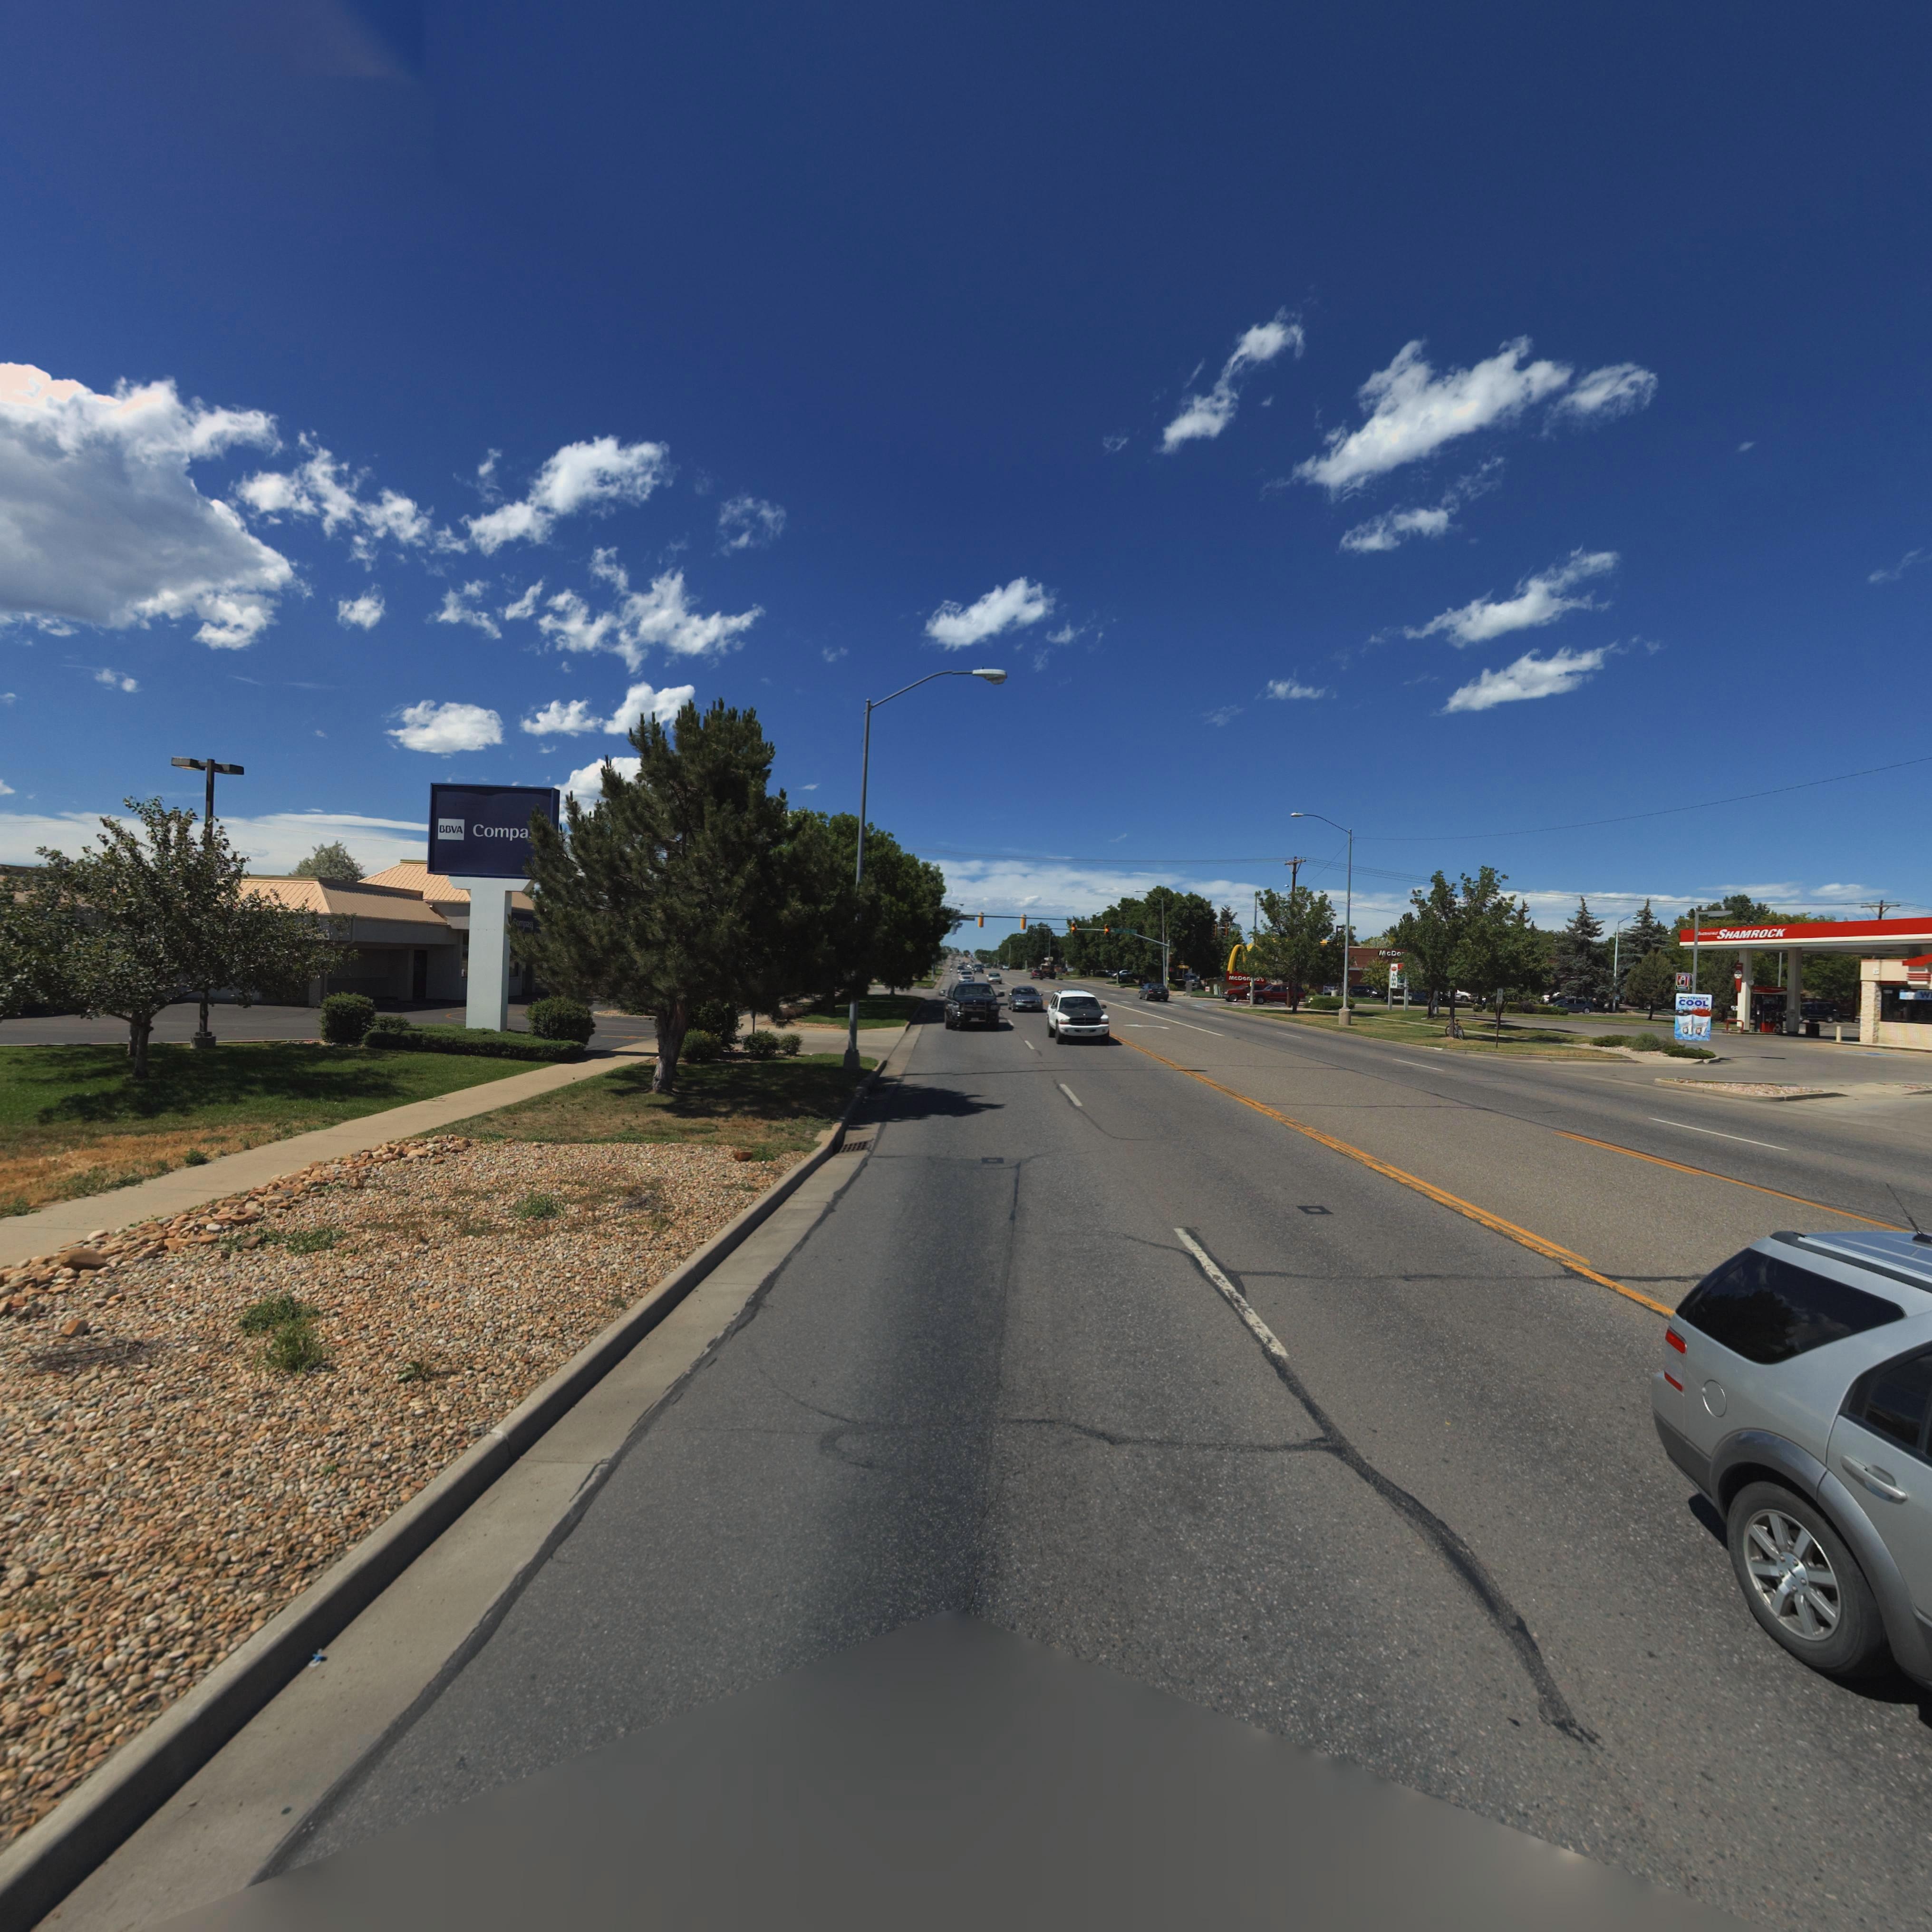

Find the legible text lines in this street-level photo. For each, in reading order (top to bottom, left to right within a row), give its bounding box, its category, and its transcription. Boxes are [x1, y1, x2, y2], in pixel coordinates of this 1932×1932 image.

[472, 823, 529, 841] BusinessName: Compa
[513, 917, 534, 928] BusinessName: *om*ass
[1115, 929, 1130, 933] StreetName: 19th Ave
[1696, 931, 1719, 936] BusinessName: ******d
[1716, 928, 1786, 939] BusinessName: SHAMROCK
[1378, 949, 1401, 957] BusinessName: McDo
[1228, 976, 1264, 981] BusinessName: McDon*****